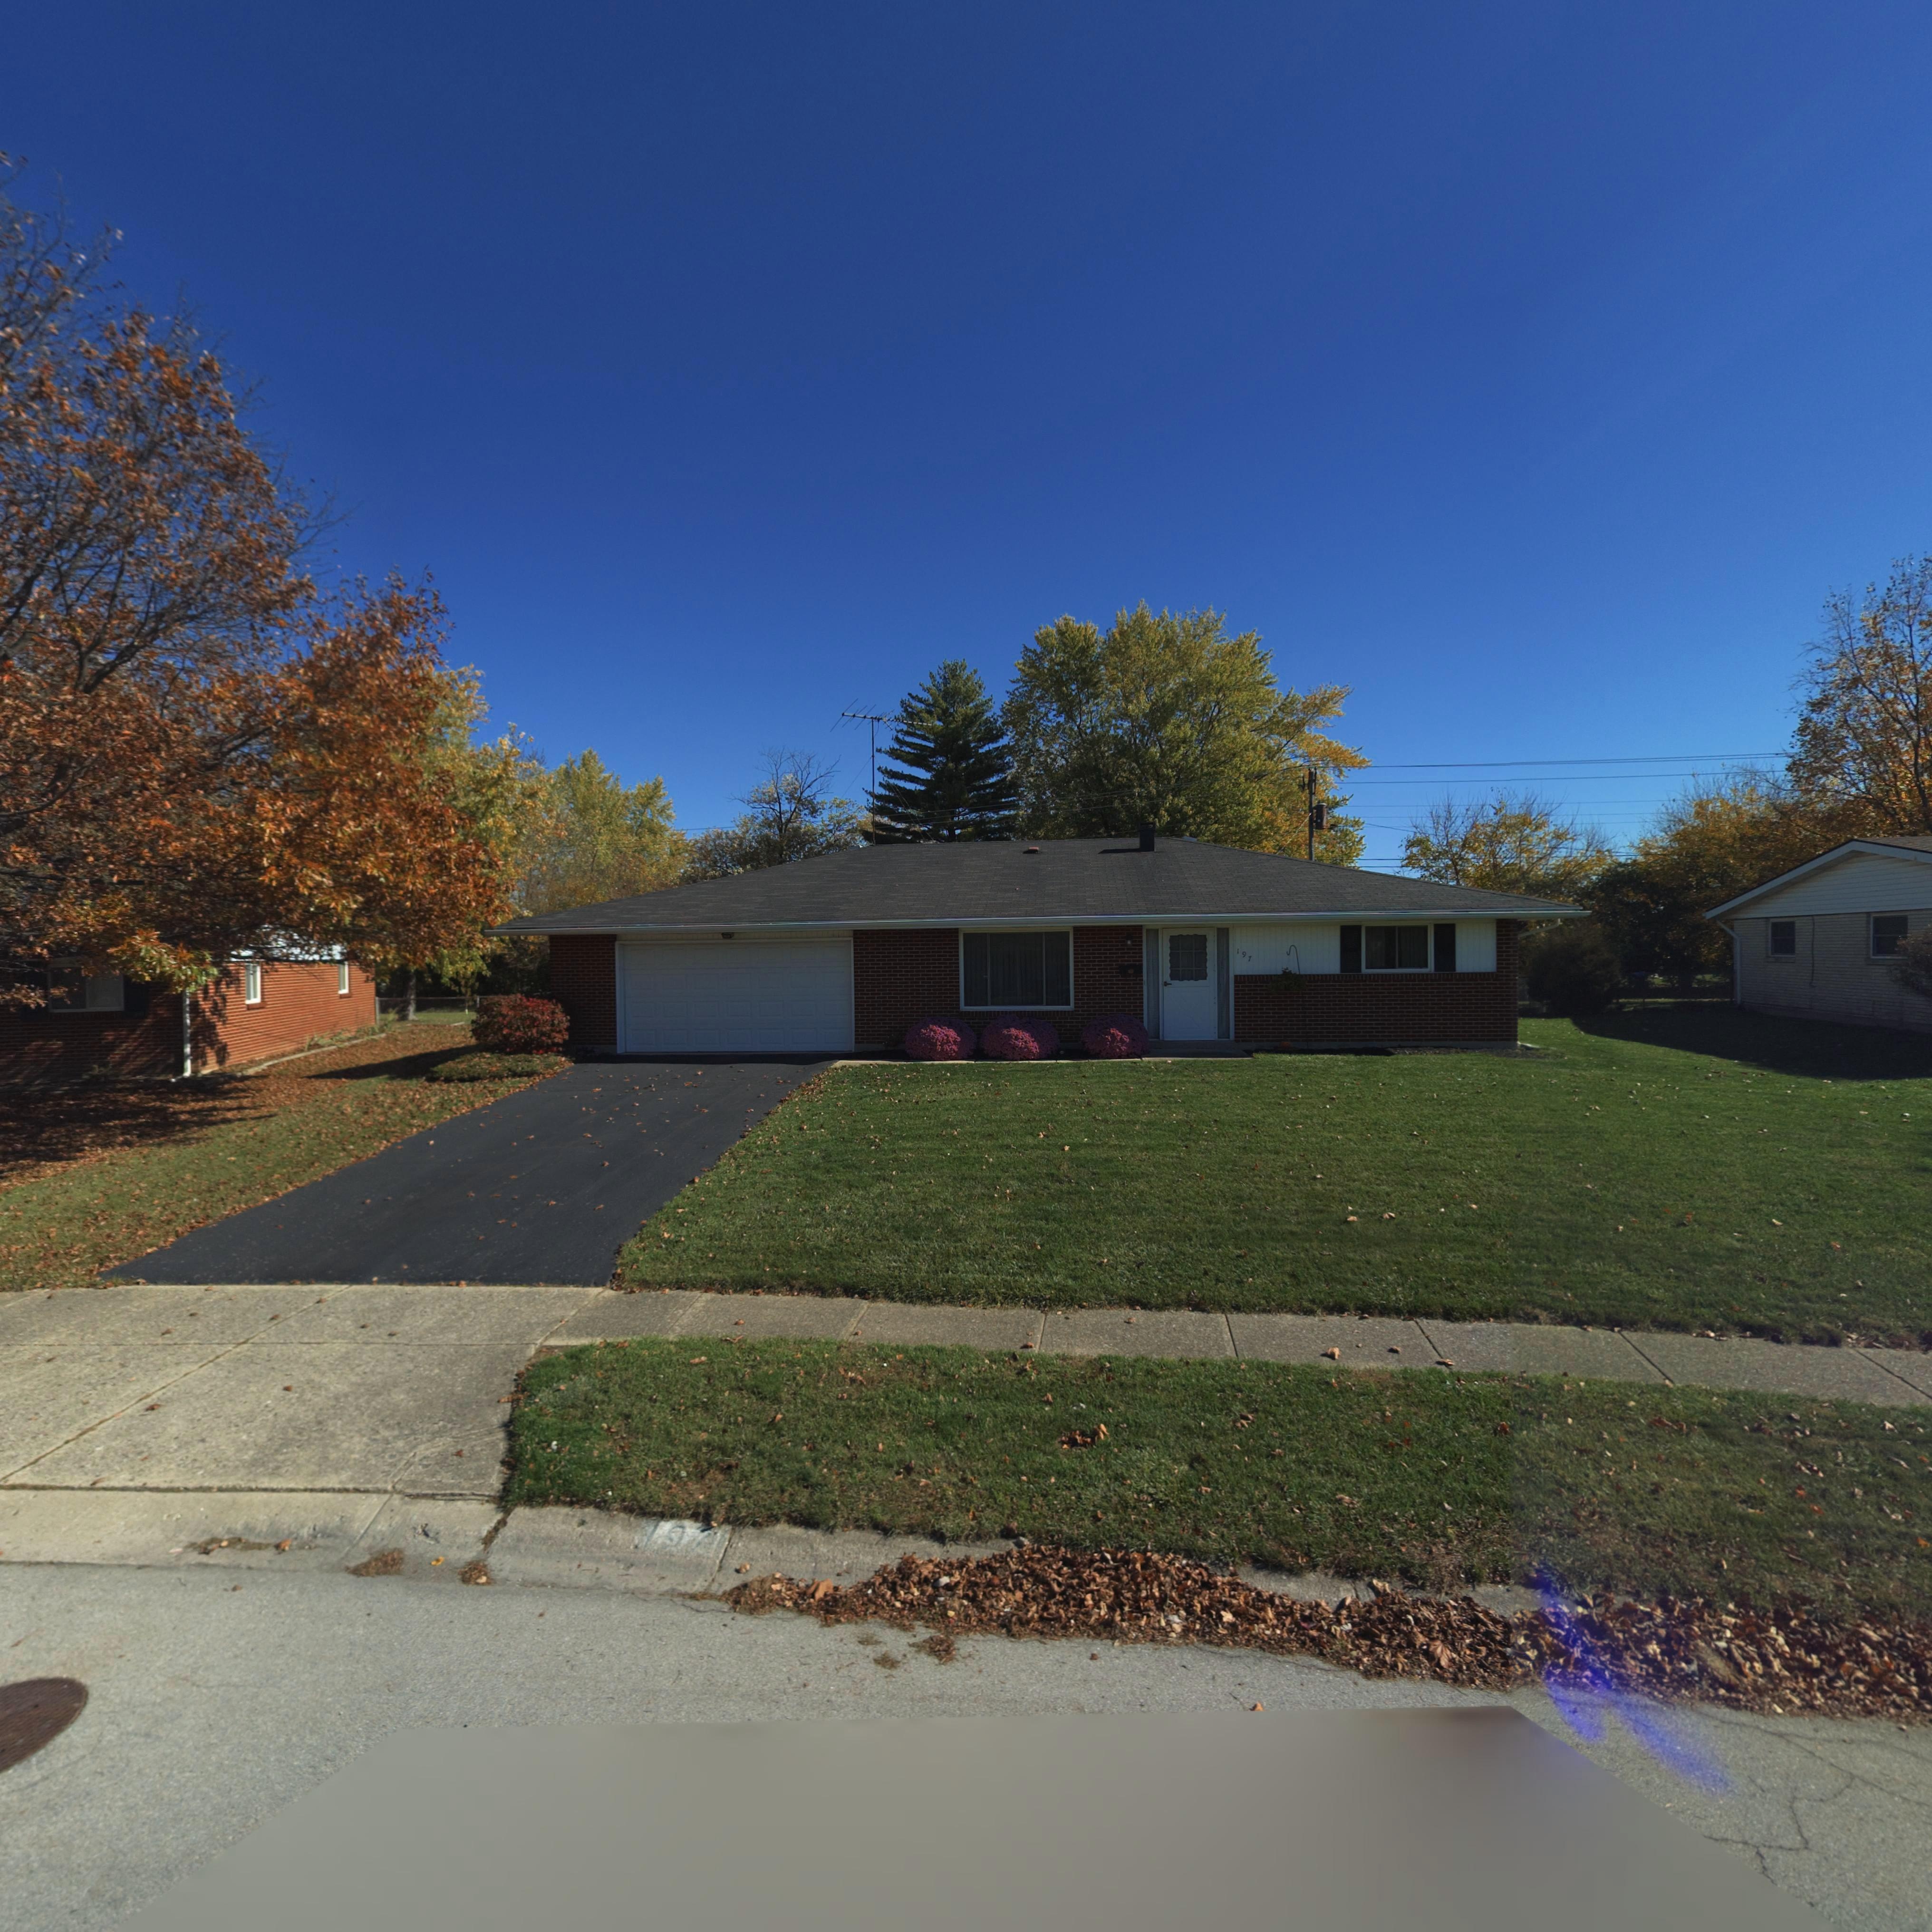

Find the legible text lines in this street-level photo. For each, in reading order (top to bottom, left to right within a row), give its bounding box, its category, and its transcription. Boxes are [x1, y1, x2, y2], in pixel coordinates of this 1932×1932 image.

[1236, 947, 1253, 963] StreetNumber: 197
[637, 1518, 715, 1558] StreetNumber: 197